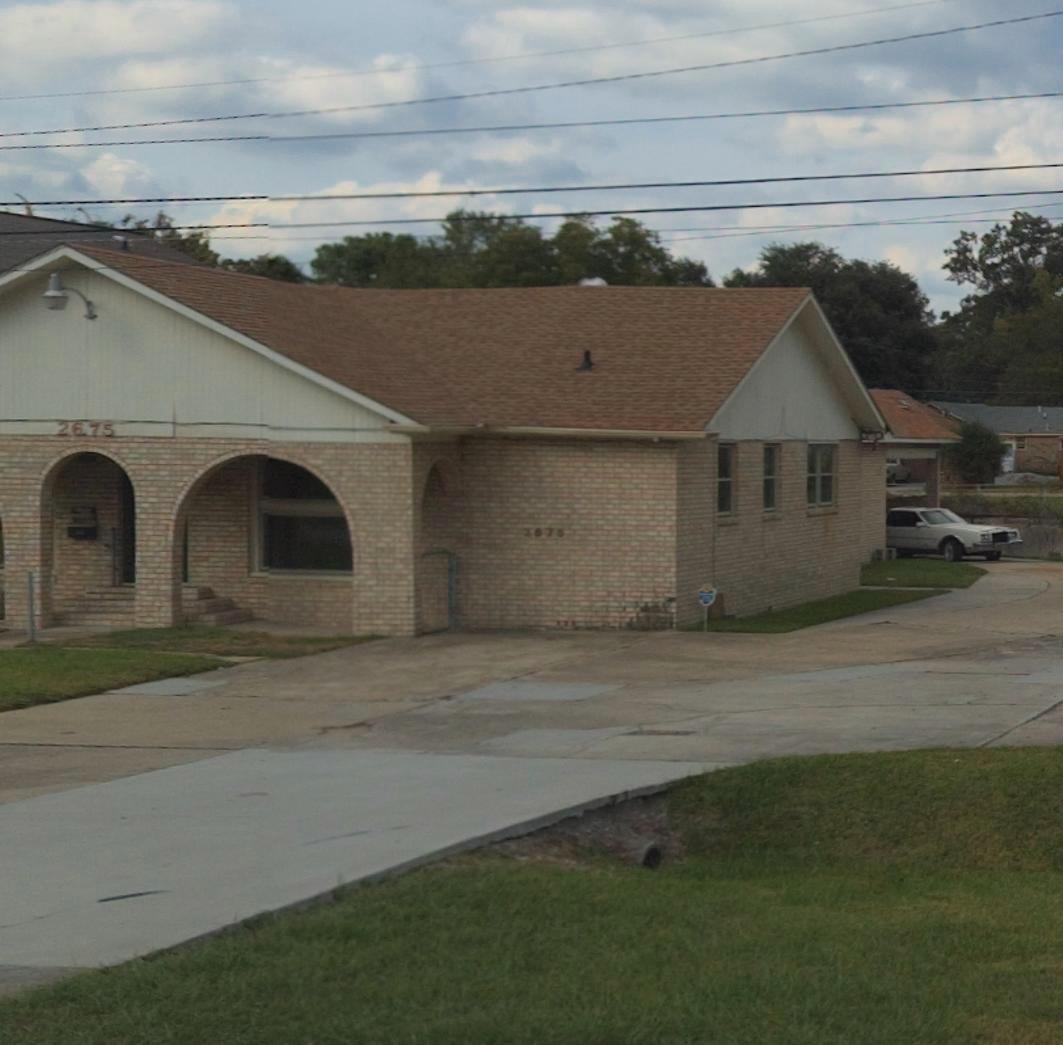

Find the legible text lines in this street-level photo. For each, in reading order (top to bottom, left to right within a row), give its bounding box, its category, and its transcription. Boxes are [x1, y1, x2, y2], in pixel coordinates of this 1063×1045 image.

[53, 416, 116, 438] StreetNumber: 2675
[521, 521, 565, 542] StreetNumber: 2675